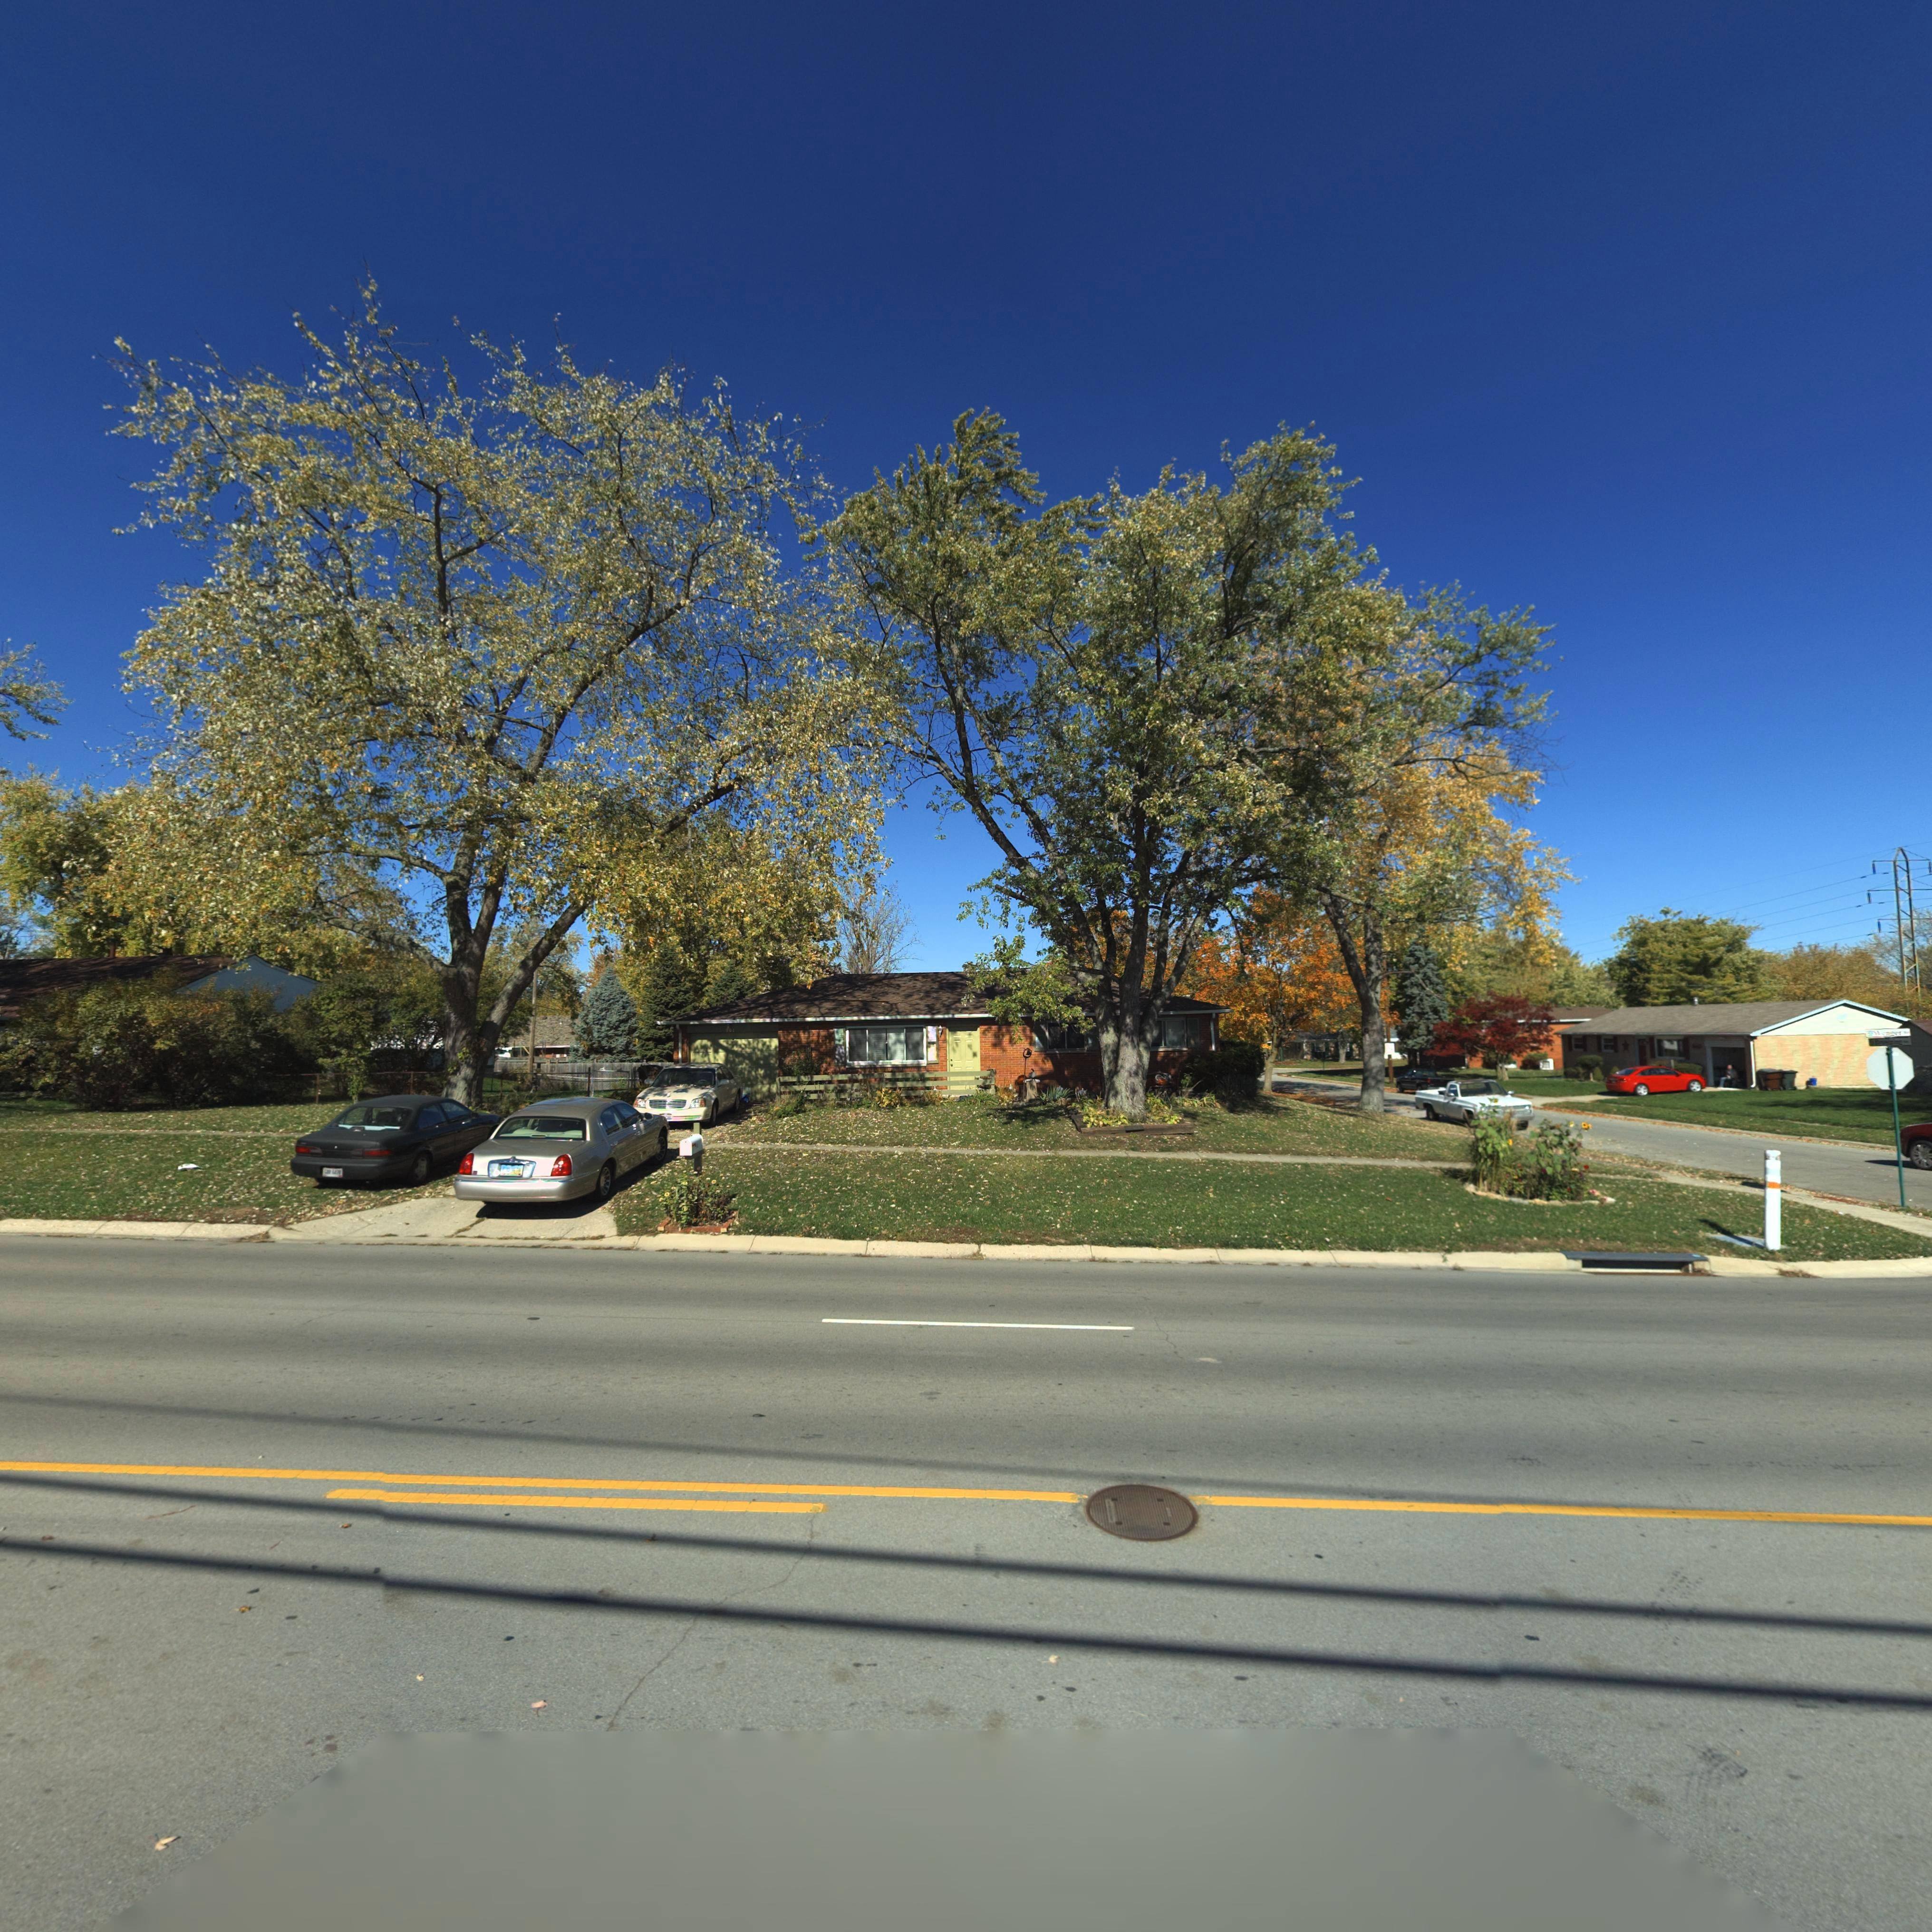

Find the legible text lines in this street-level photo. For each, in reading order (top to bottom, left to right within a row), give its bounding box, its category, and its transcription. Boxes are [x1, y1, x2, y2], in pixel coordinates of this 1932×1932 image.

[725, 1028, 735, 1033] StreetNumber: *01